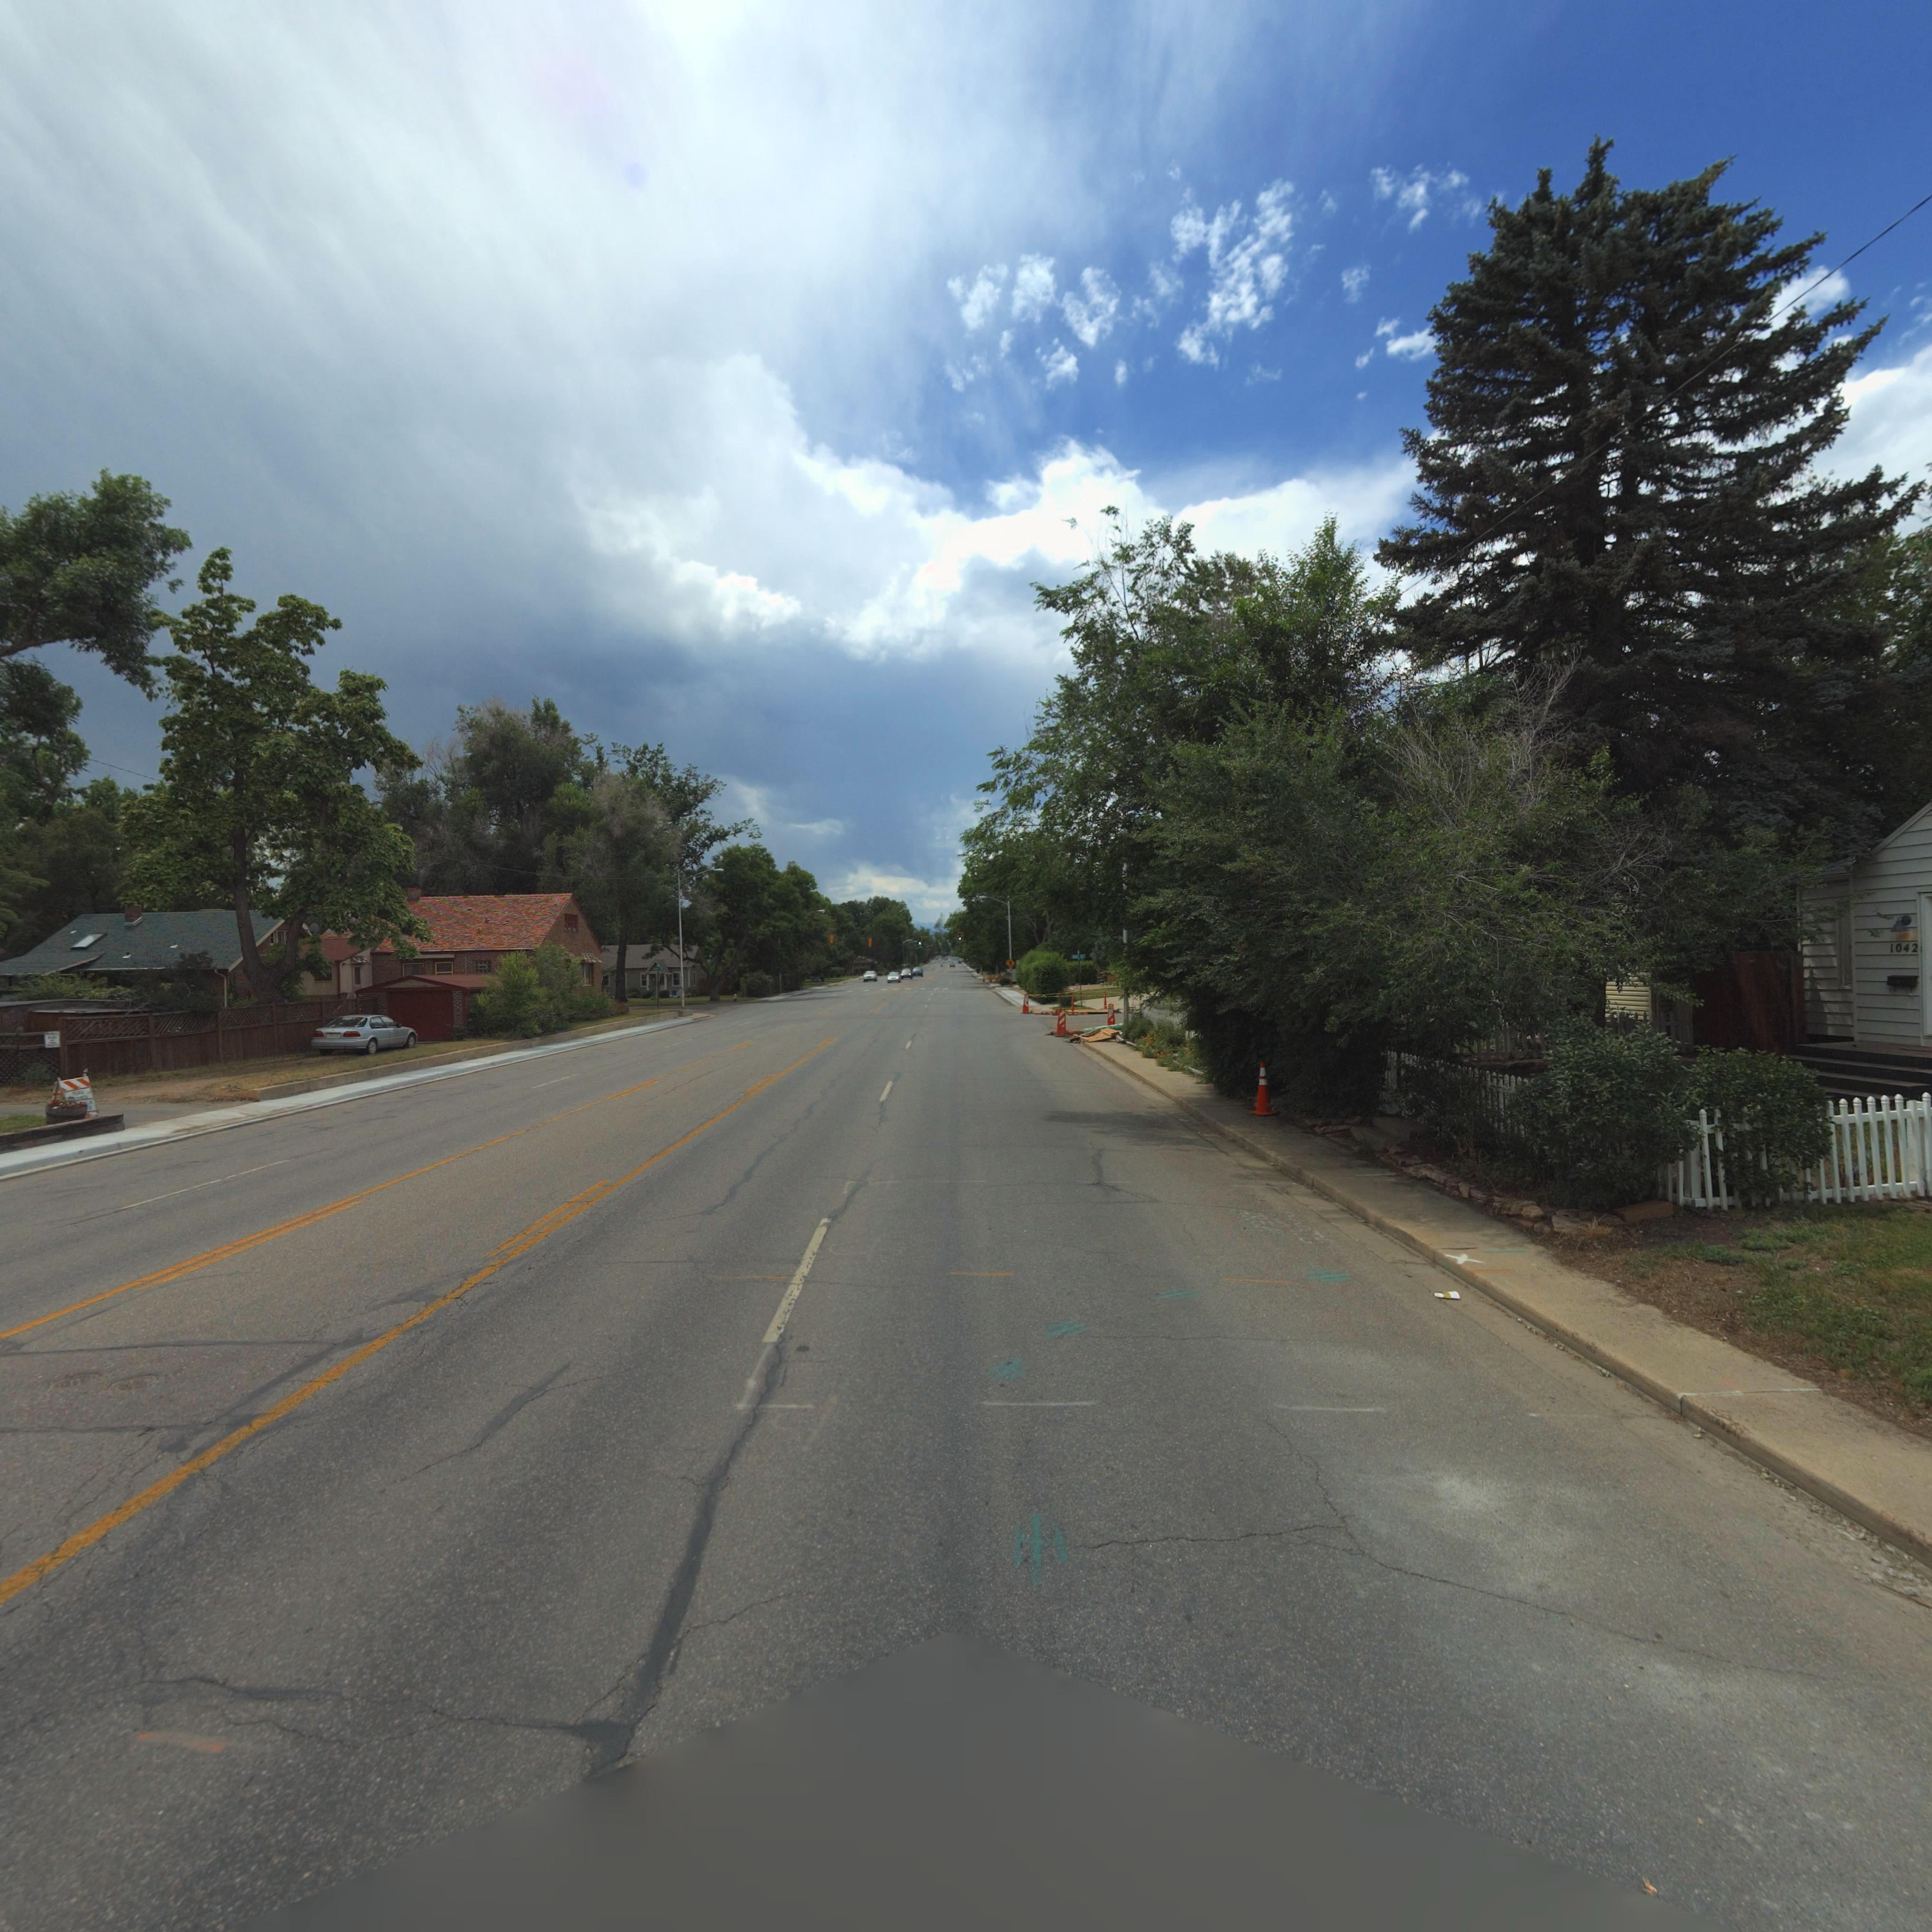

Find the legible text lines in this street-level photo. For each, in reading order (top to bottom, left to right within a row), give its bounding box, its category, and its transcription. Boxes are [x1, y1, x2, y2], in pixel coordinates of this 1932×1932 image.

[1890, 942, 1919, 953] StreetNumber: 1042
[1072, 954, 1085, 959] StreetName: GAY ST